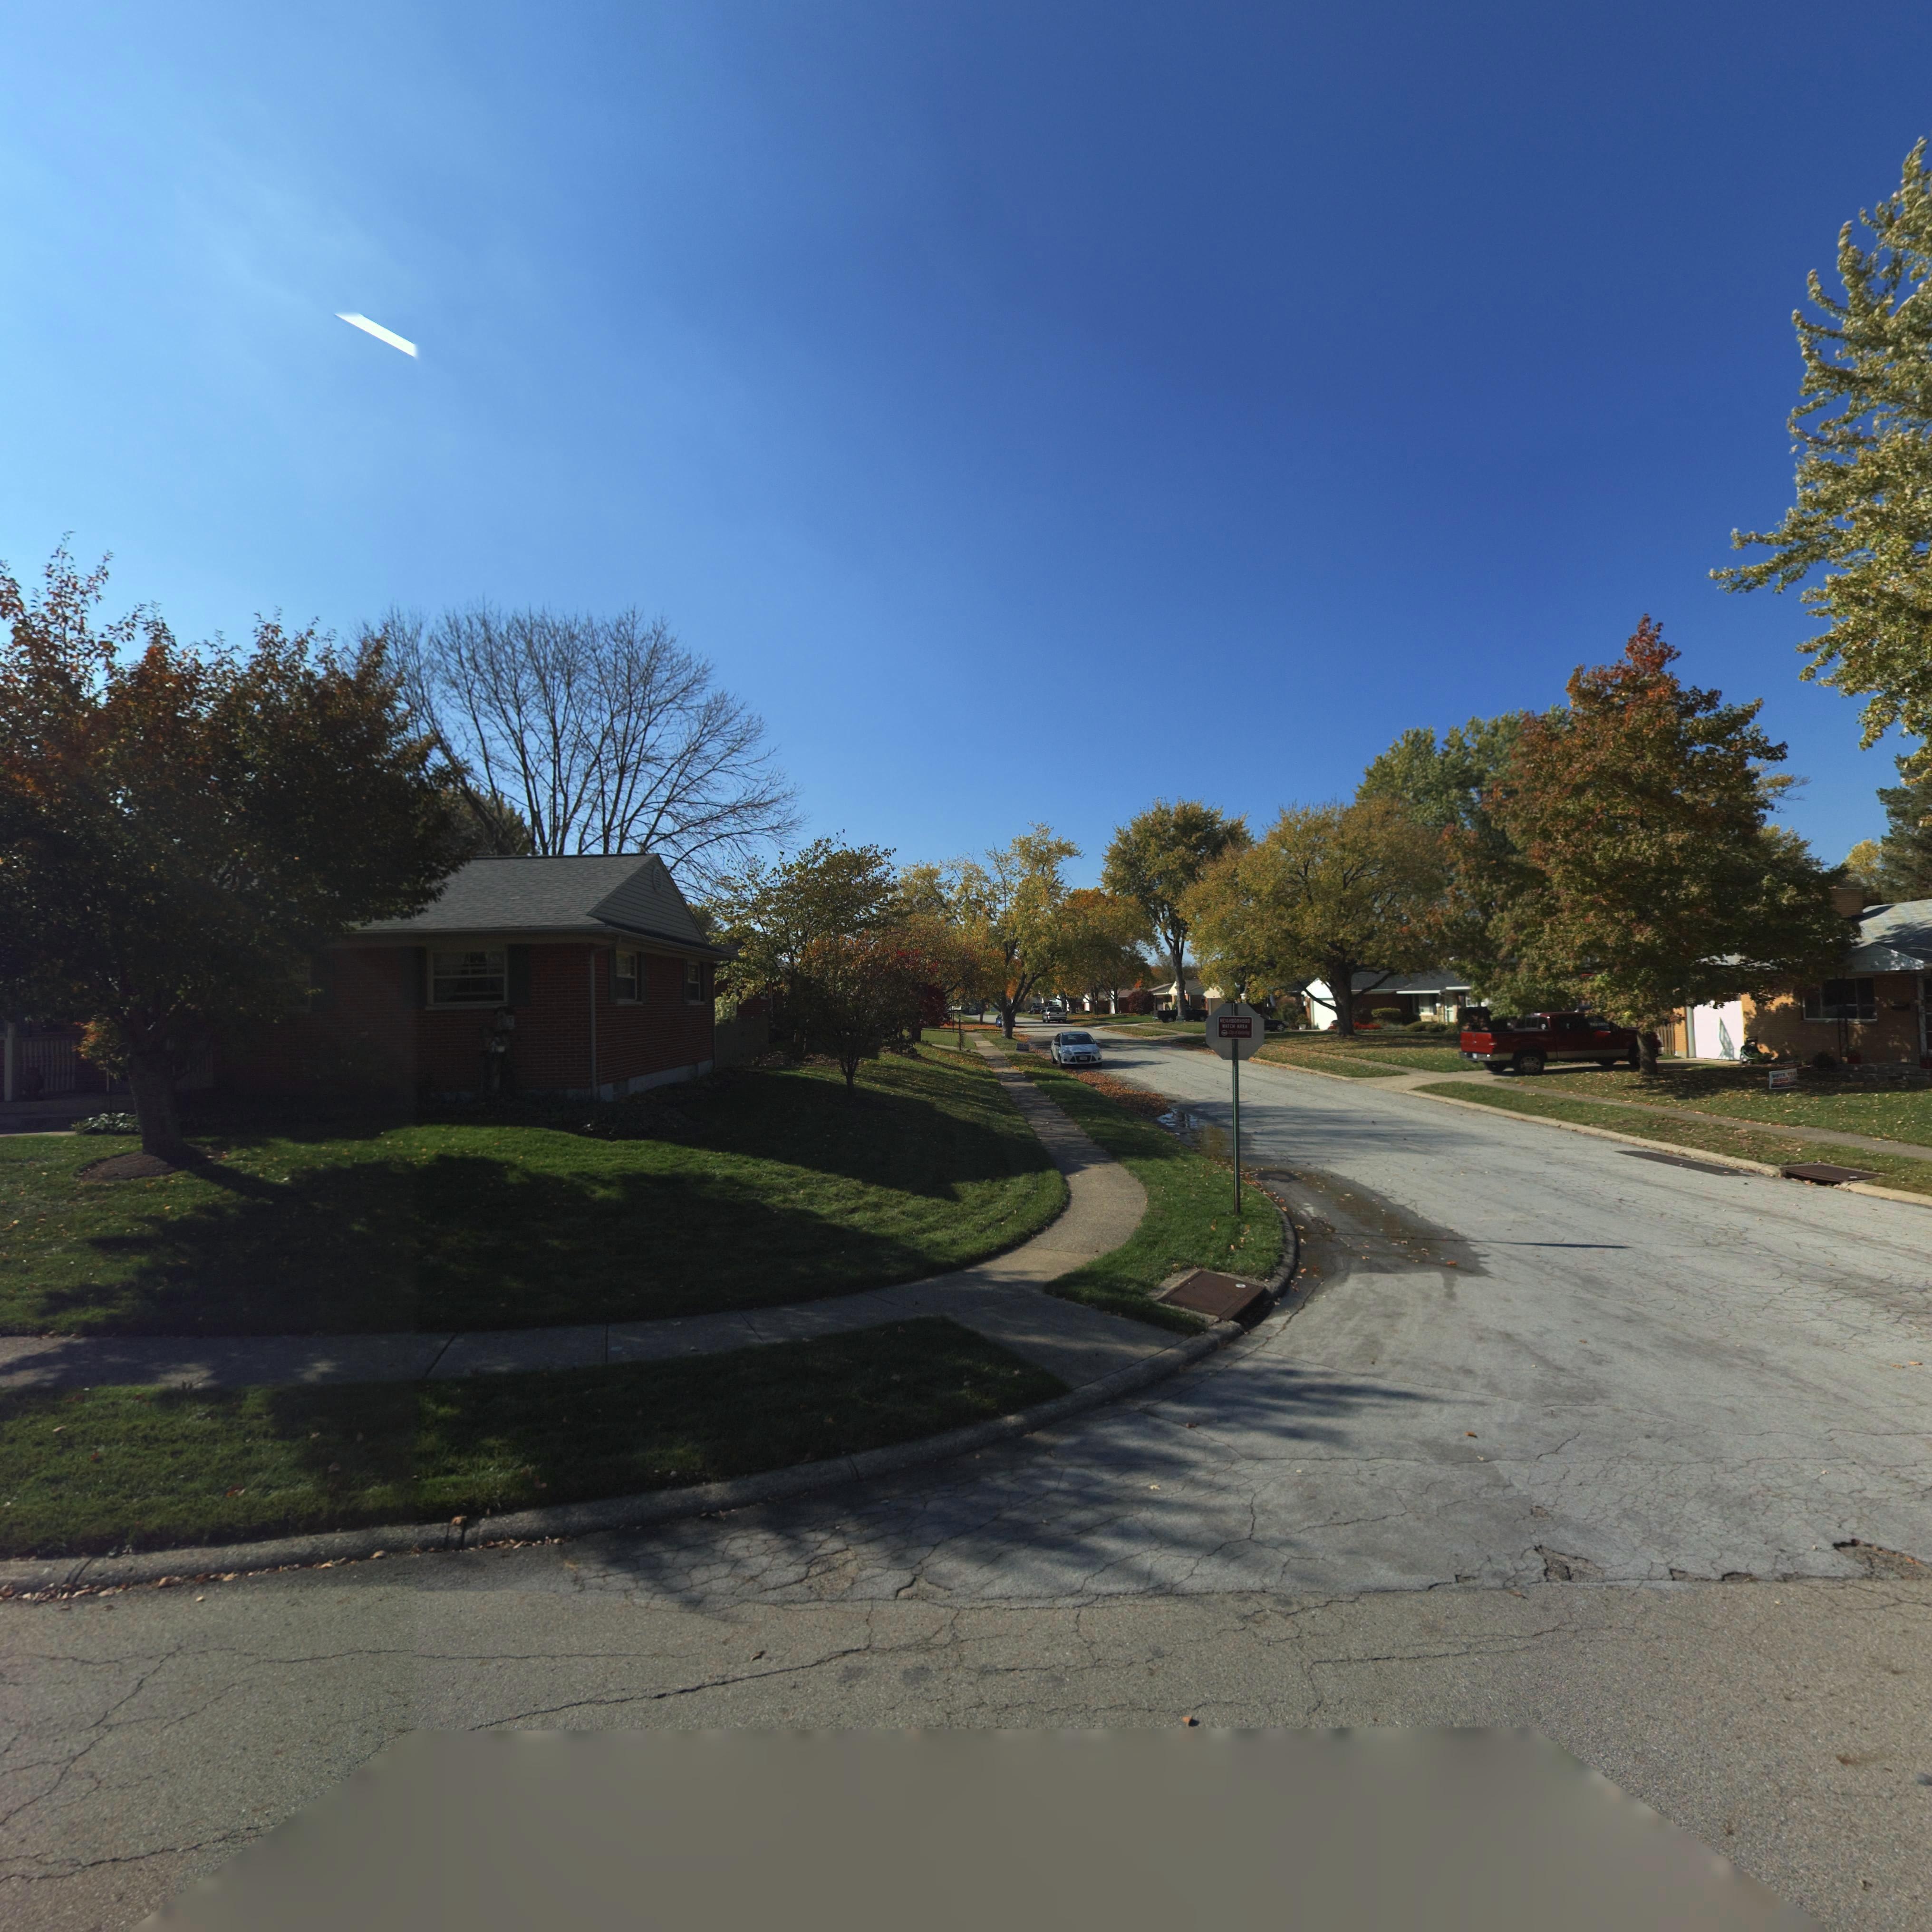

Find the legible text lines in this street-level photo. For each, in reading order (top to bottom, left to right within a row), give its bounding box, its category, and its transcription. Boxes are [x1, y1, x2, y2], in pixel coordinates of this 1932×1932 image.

[1772, 1072, 1786, 1079] None: VOT*